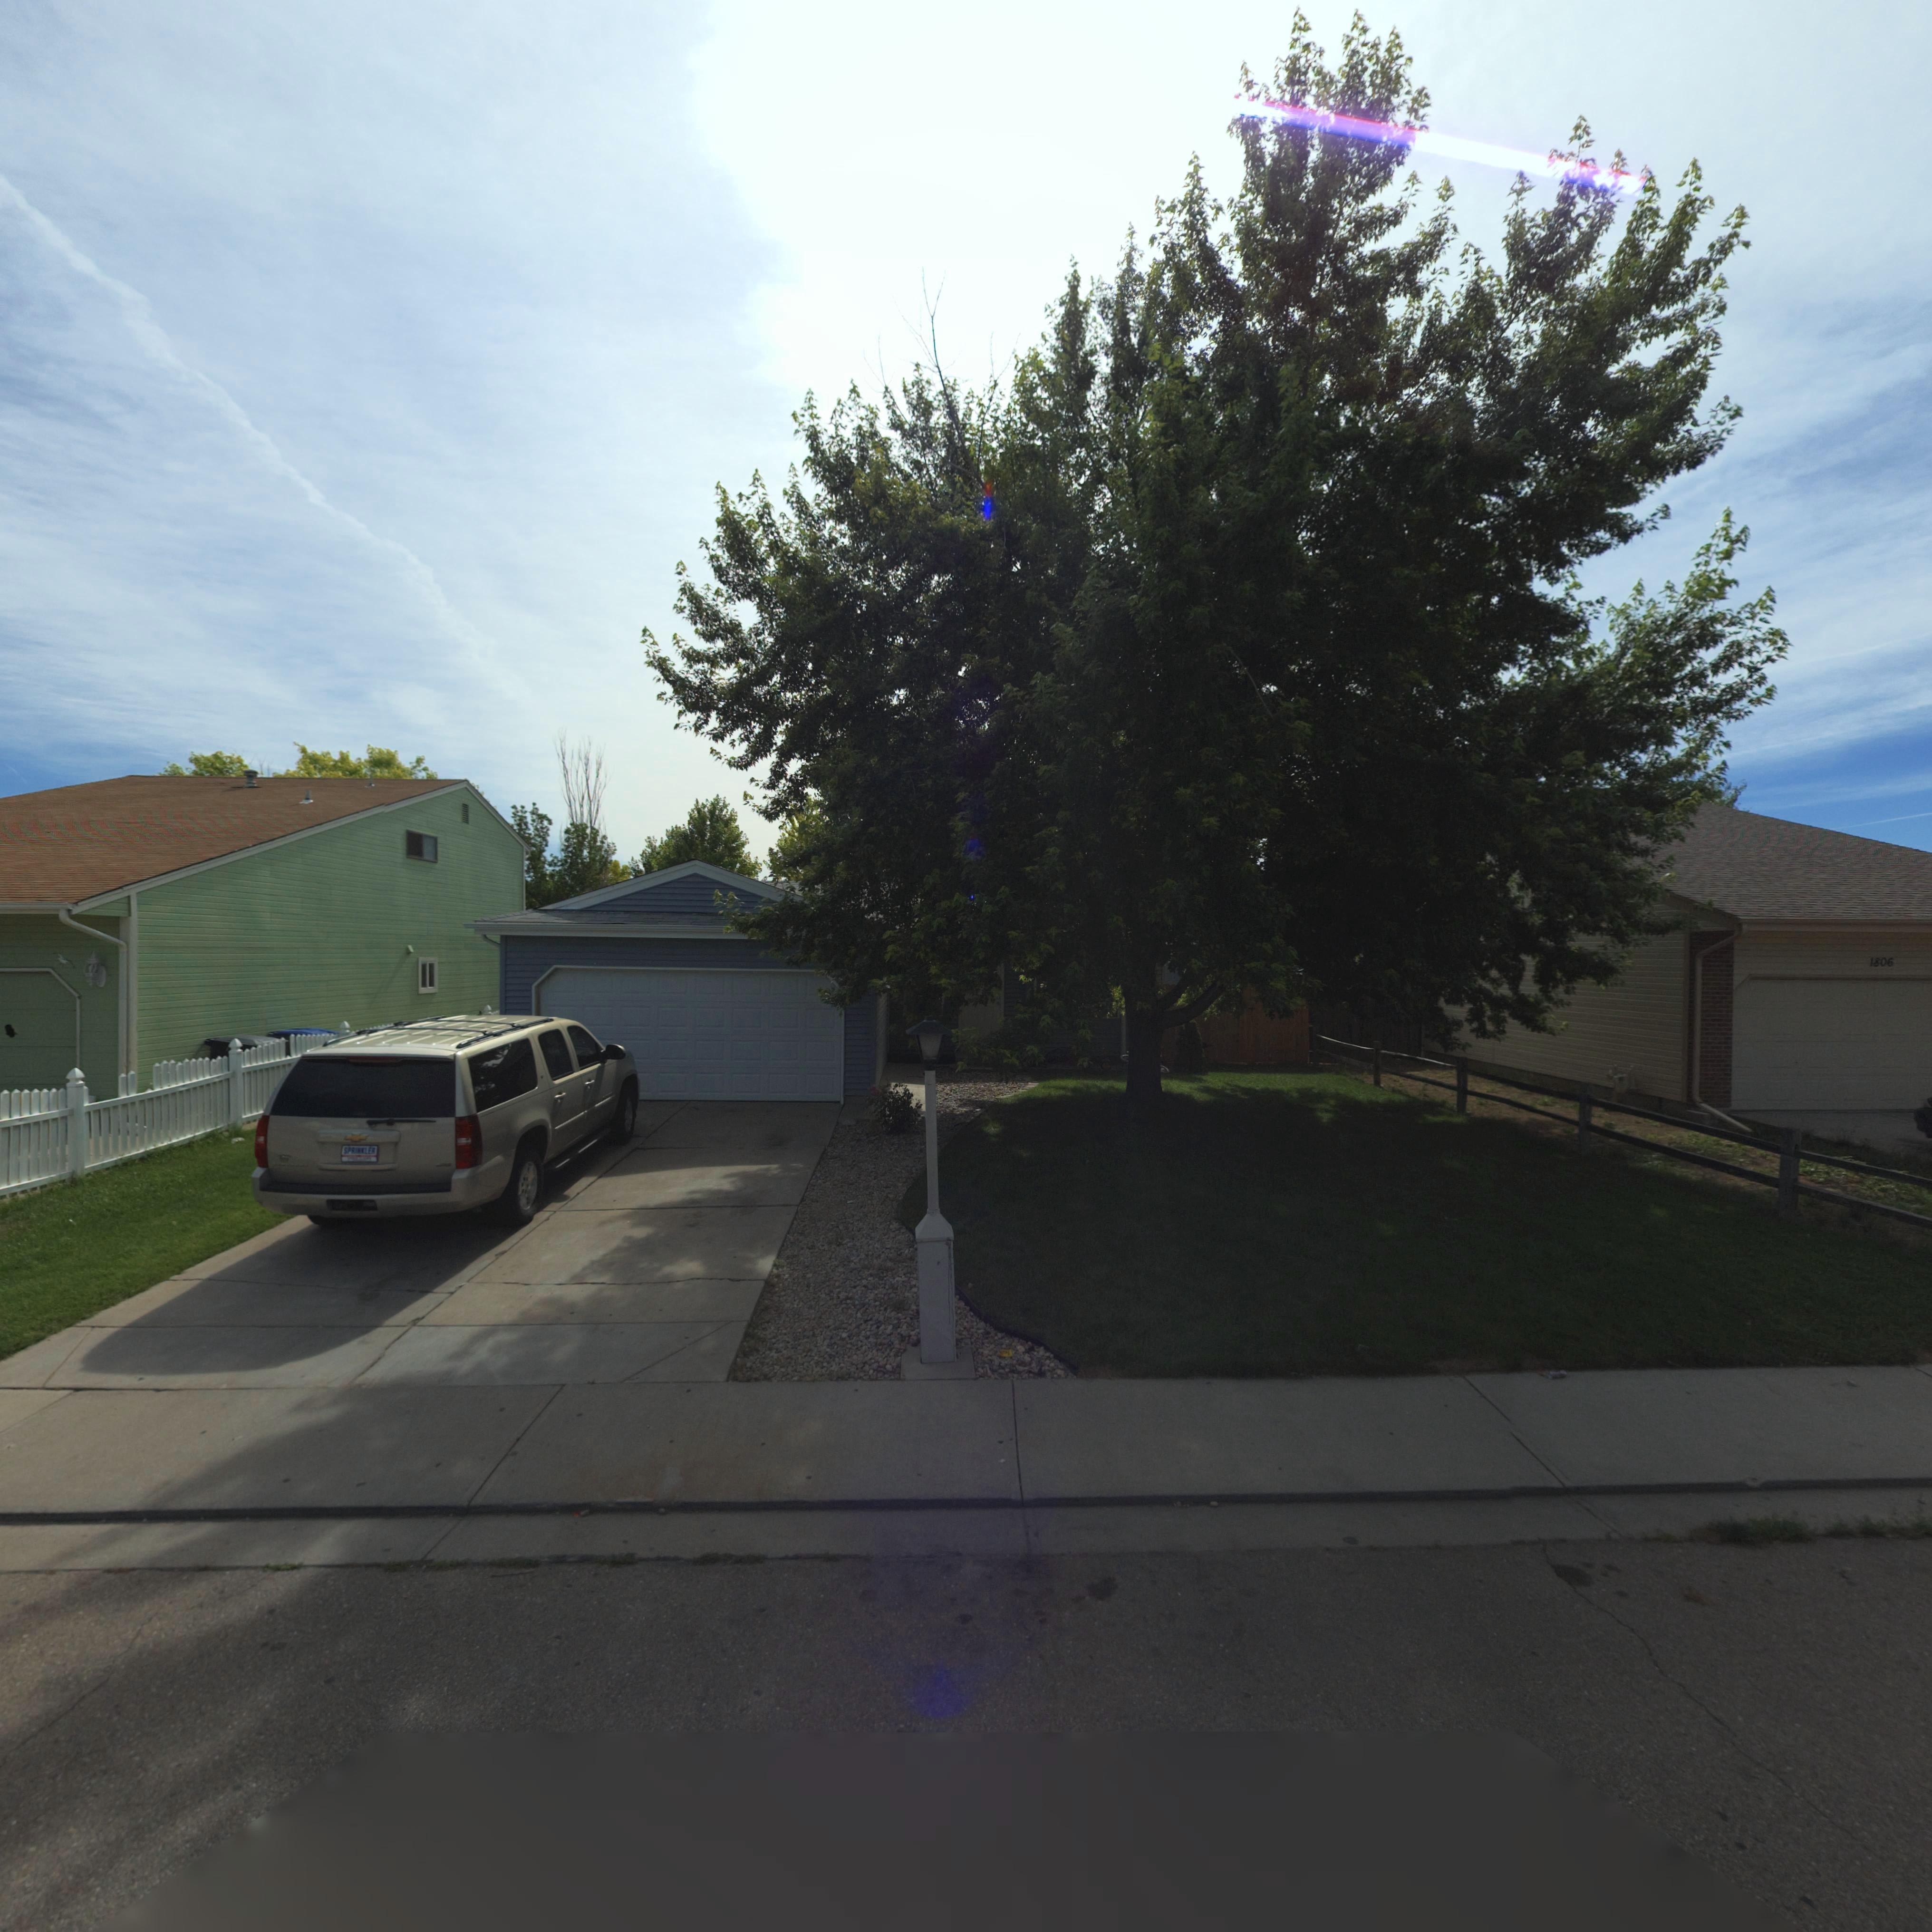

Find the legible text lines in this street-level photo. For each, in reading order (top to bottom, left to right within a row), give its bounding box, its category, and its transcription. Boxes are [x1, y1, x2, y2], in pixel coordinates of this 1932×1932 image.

[1869, 956, 1893, 966] StreetNumber: 1806